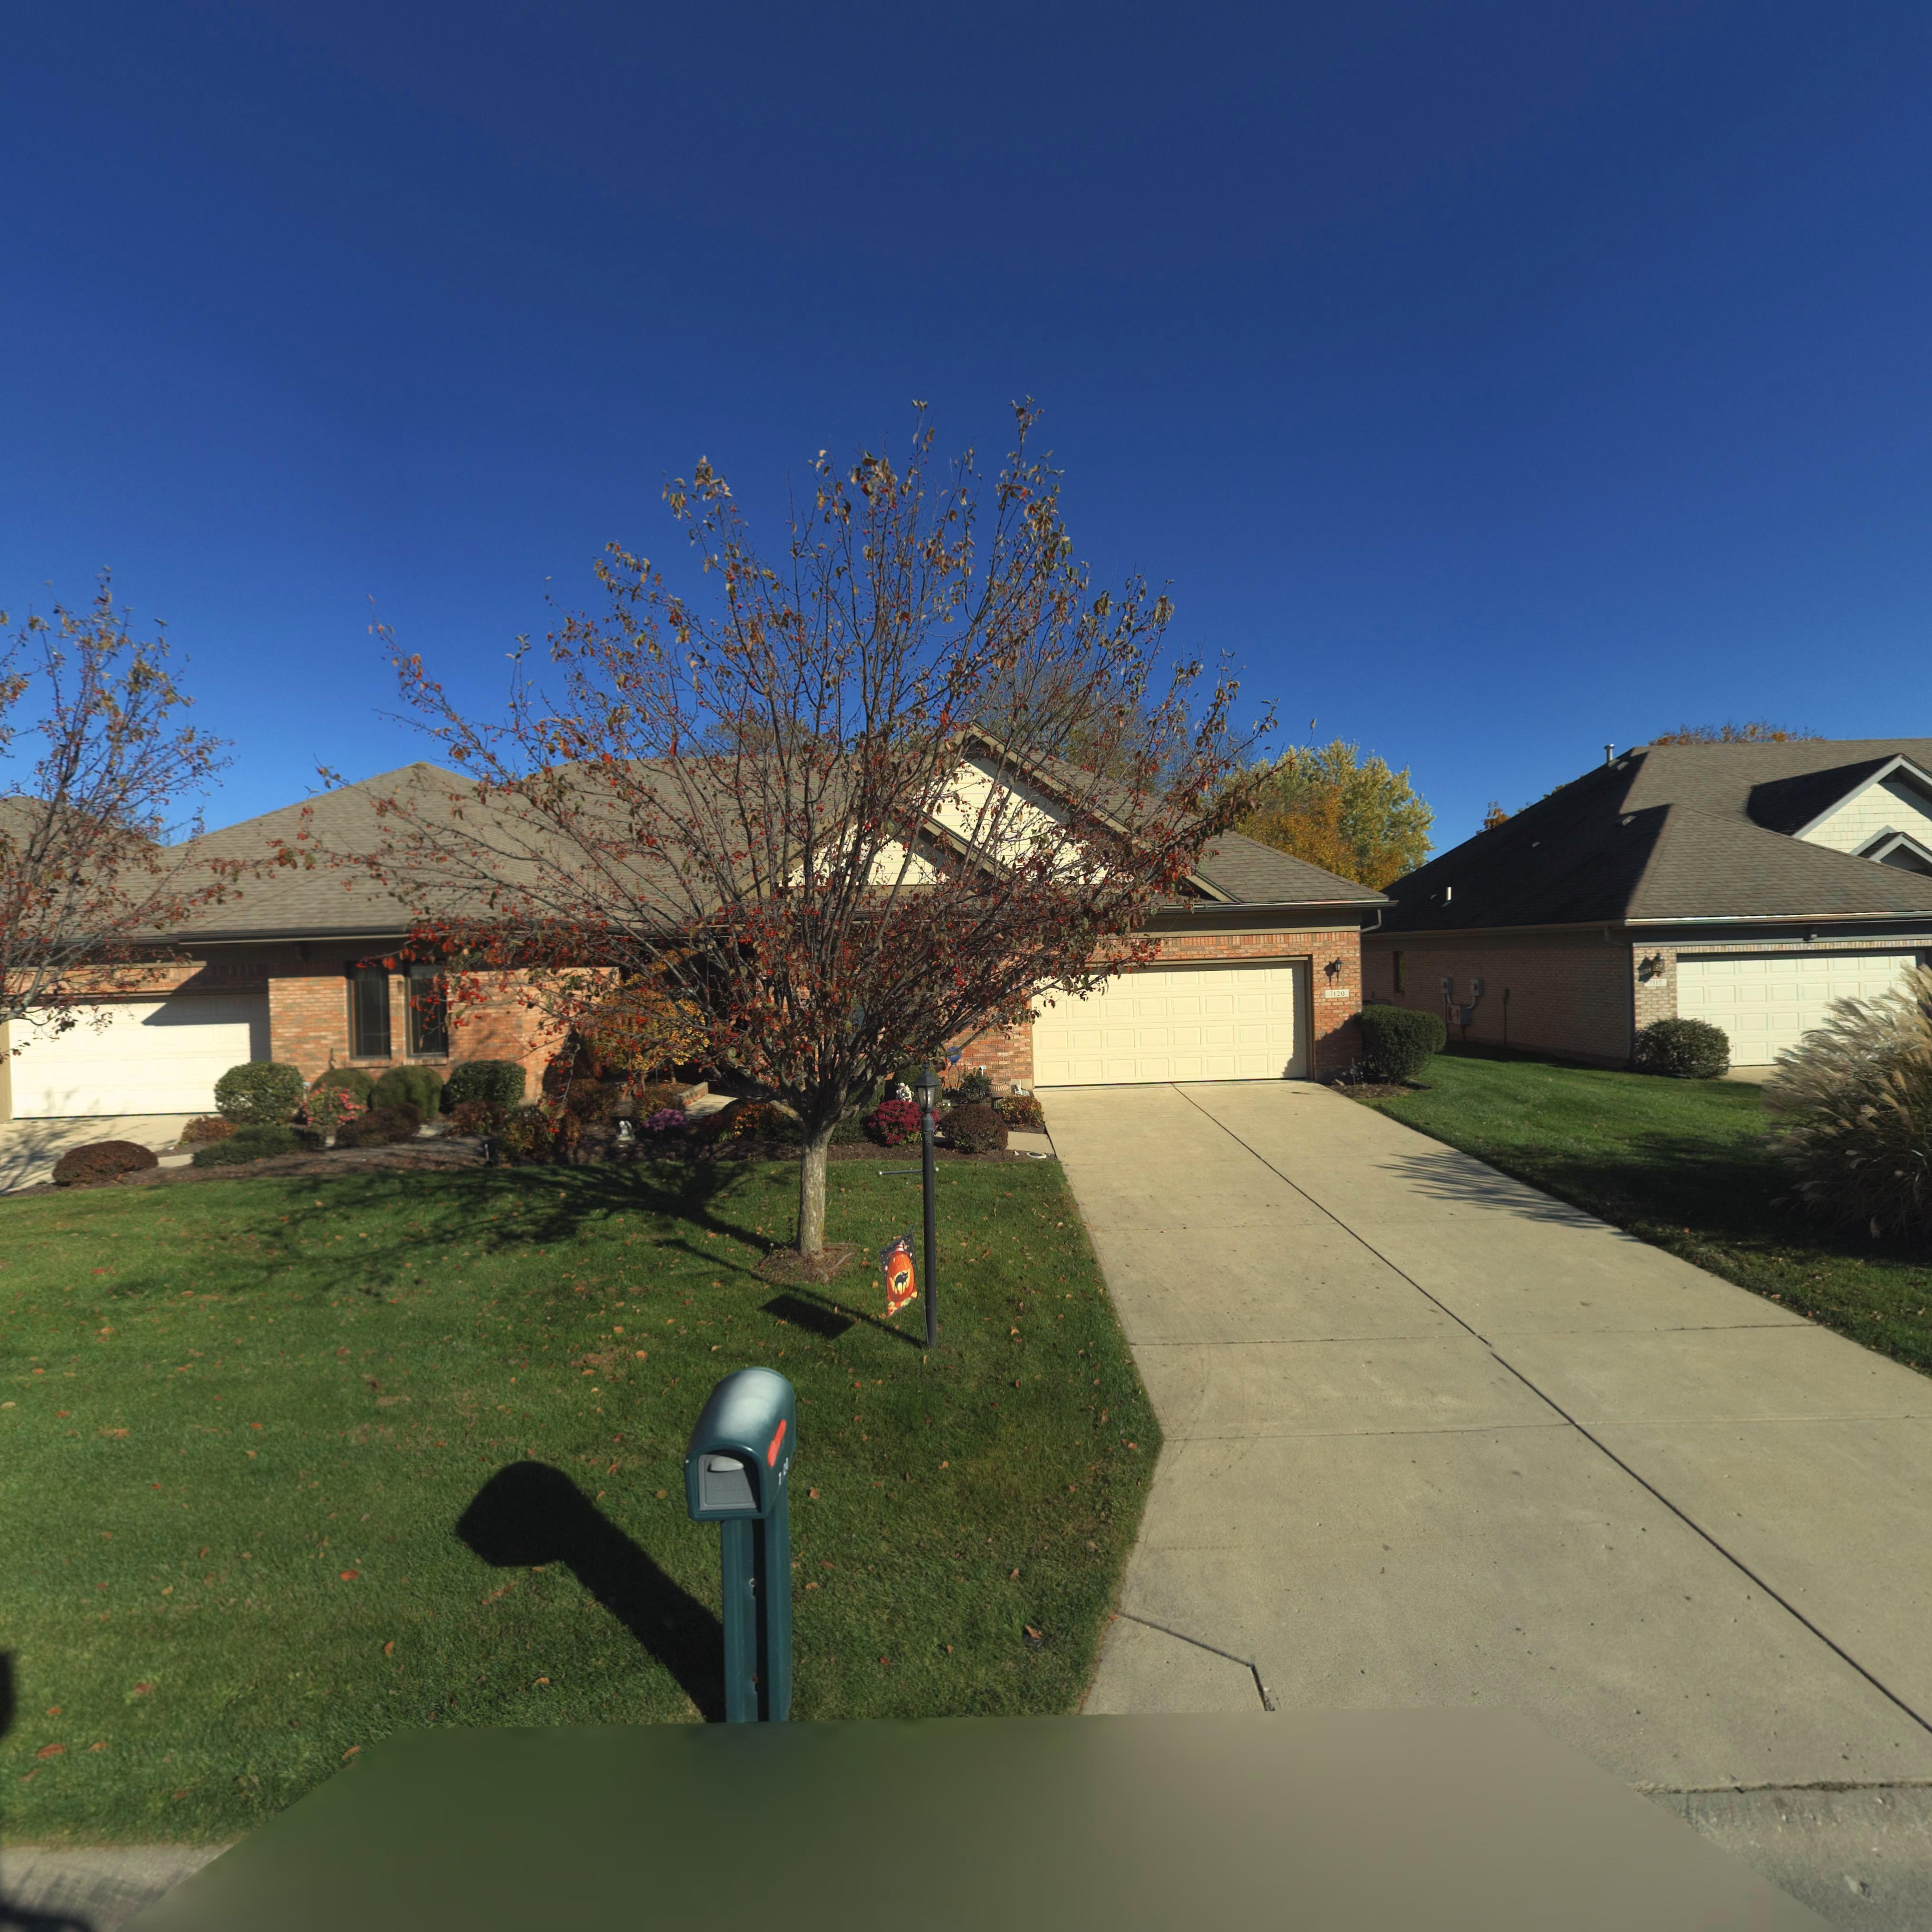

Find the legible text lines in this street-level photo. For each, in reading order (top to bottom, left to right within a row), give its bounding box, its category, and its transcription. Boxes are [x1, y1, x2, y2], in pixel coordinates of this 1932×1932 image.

[1648, 979, 1662, 985] StreetNumber: 7112
[1329, 990, 1344, 997] StreetNumber: 7120
[777, 1456, 789, 1488] StreetNumber: 7*2*